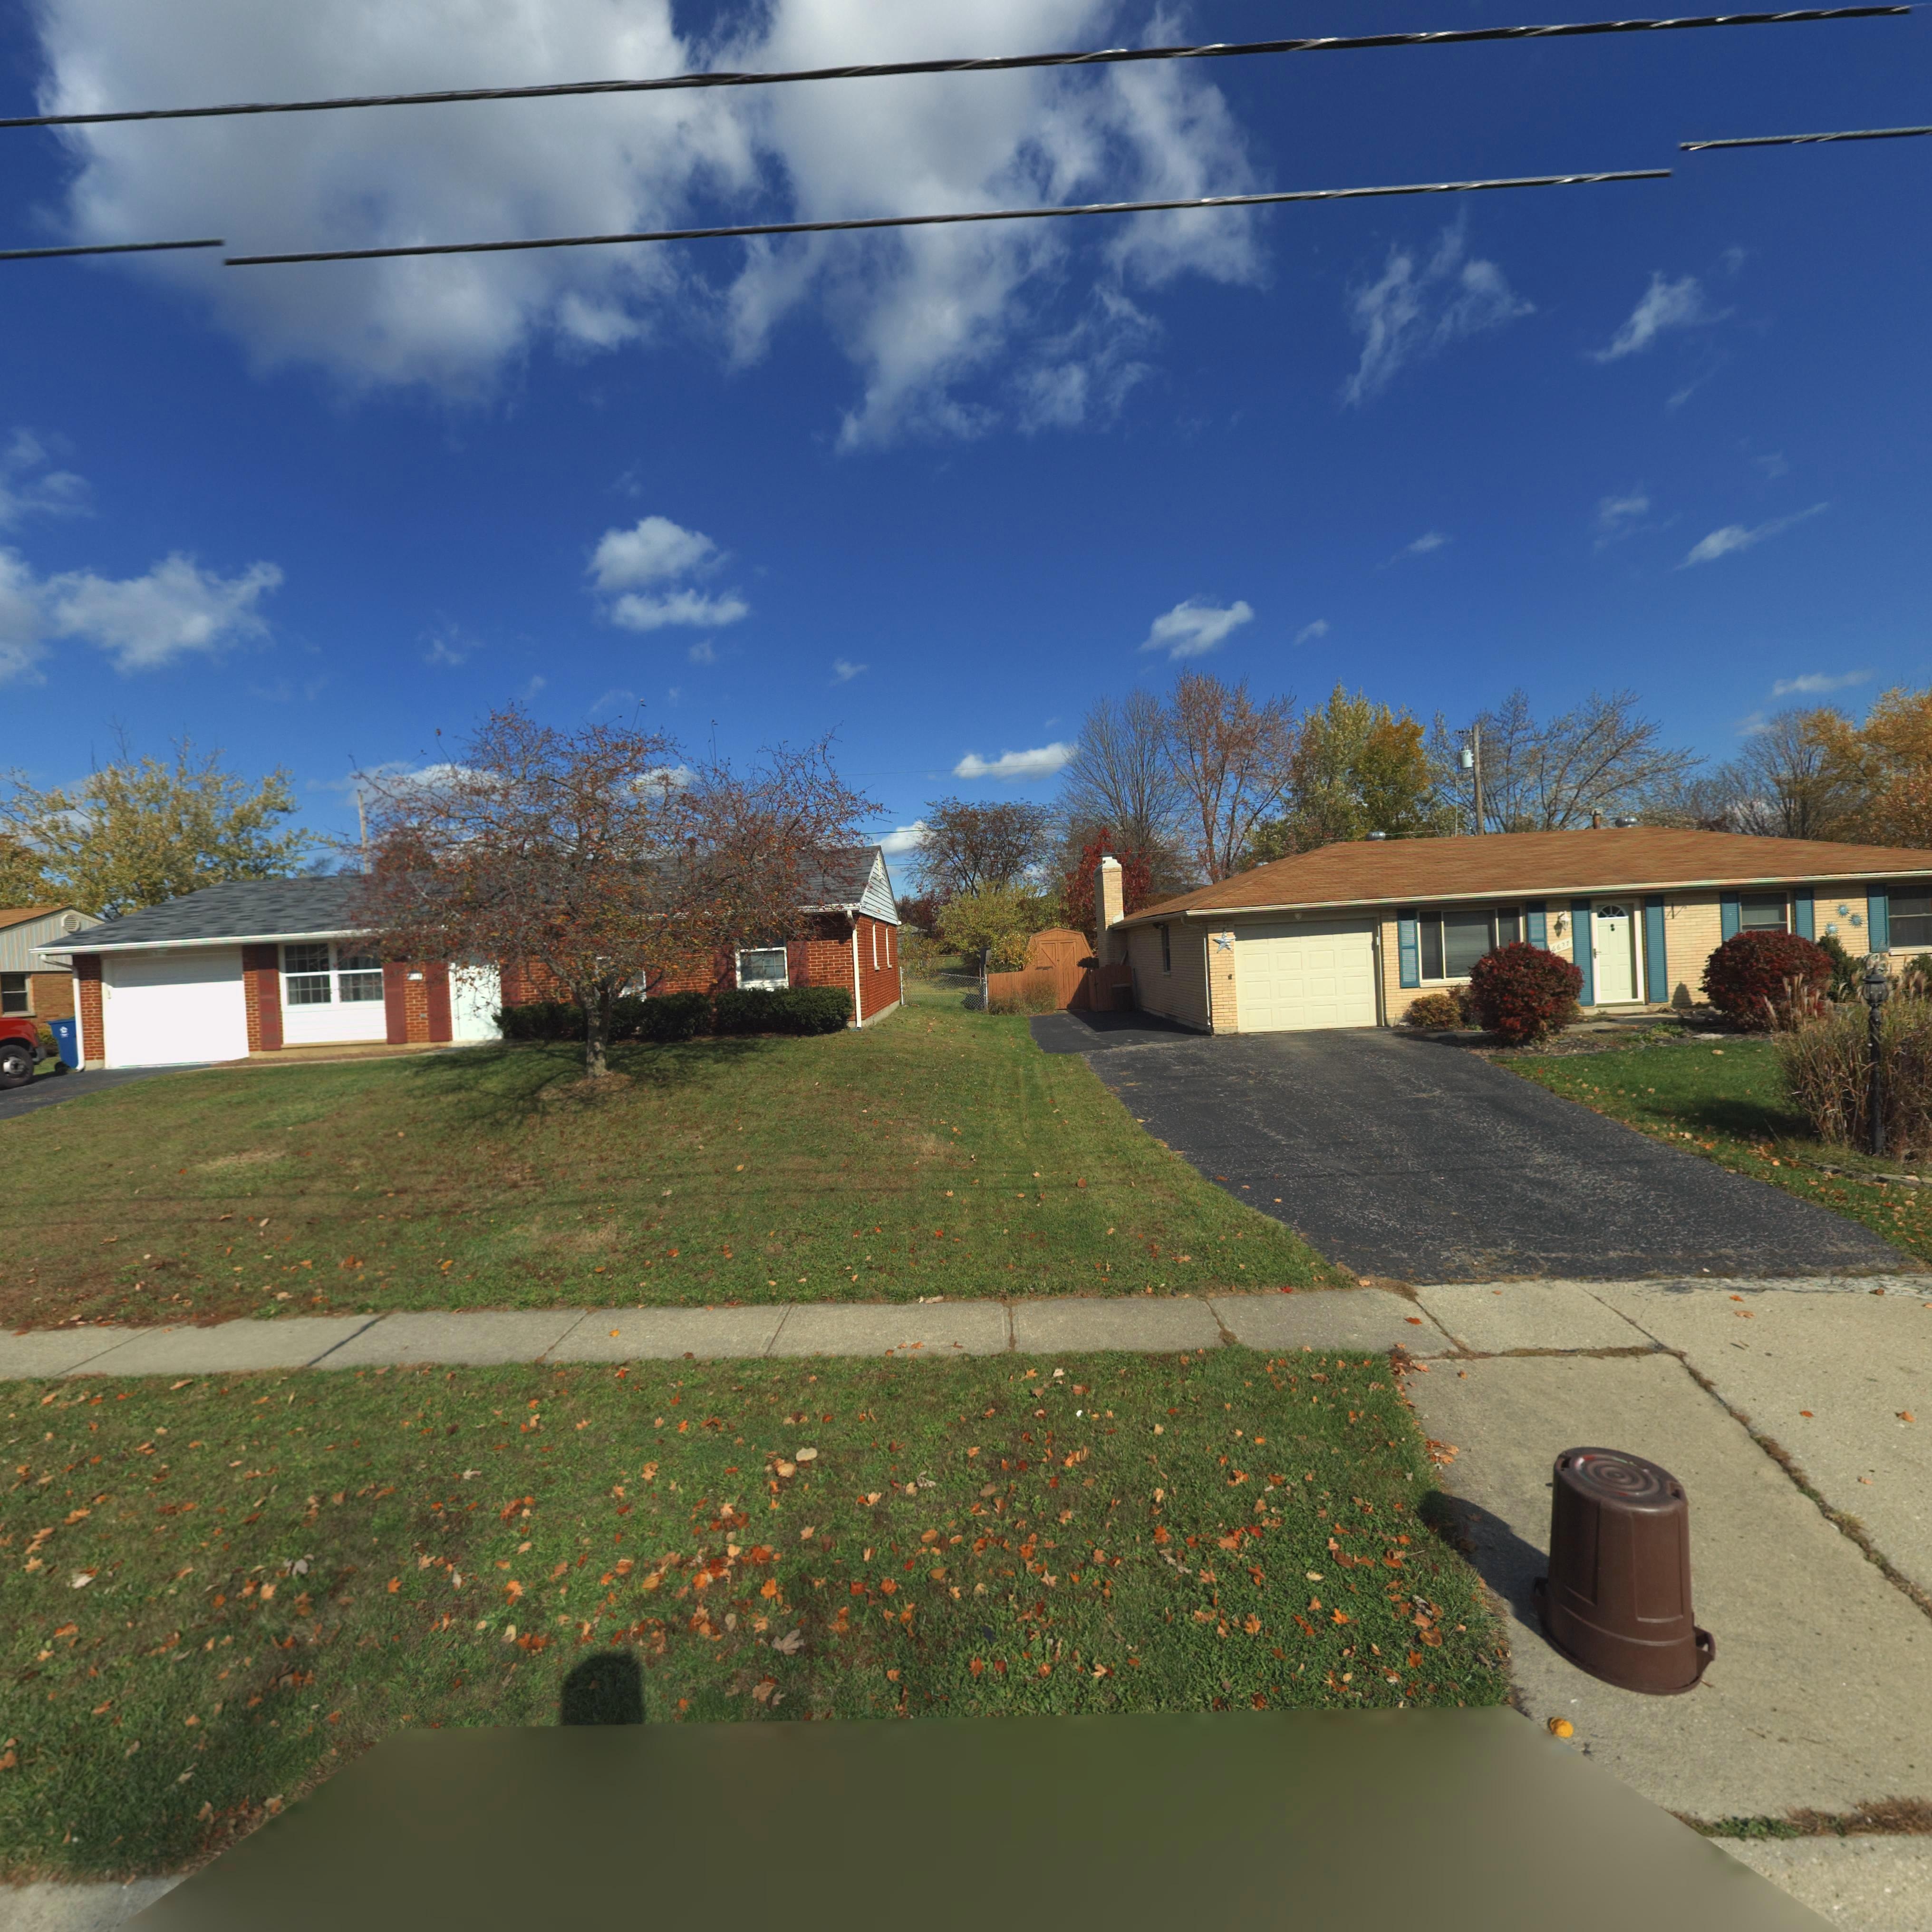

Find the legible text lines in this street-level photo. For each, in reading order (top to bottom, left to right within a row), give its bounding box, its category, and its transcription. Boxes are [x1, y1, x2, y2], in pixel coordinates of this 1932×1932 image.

[1551, 940, 1570, 952] StreetNumber: 6627